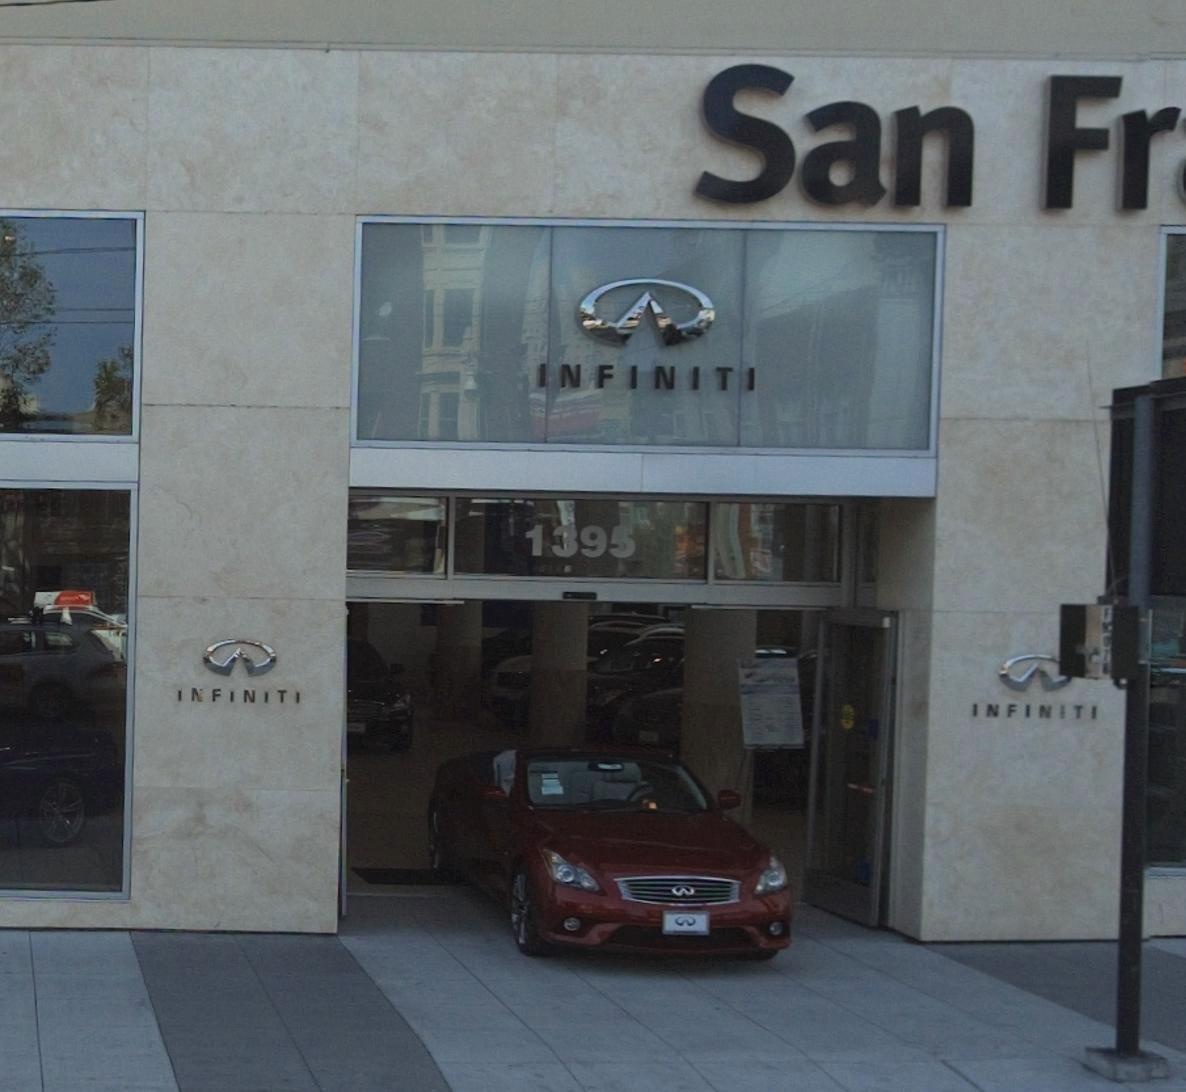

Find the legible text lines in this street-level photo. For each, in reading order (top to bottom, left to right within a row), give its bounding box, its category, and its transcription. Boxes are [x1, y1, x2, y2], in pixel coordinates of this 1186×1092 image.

[691, 60, 1183, 217] None: San Fr
[535, 361, 758, 393] BusinessName: INFINITI
[524, 519, 637, 562] StreetNumber: 1395
[175, 686, 302, 707] BusinessName: INFINITI
[970, 699, 1100, 722] BusinessName: INFINITI